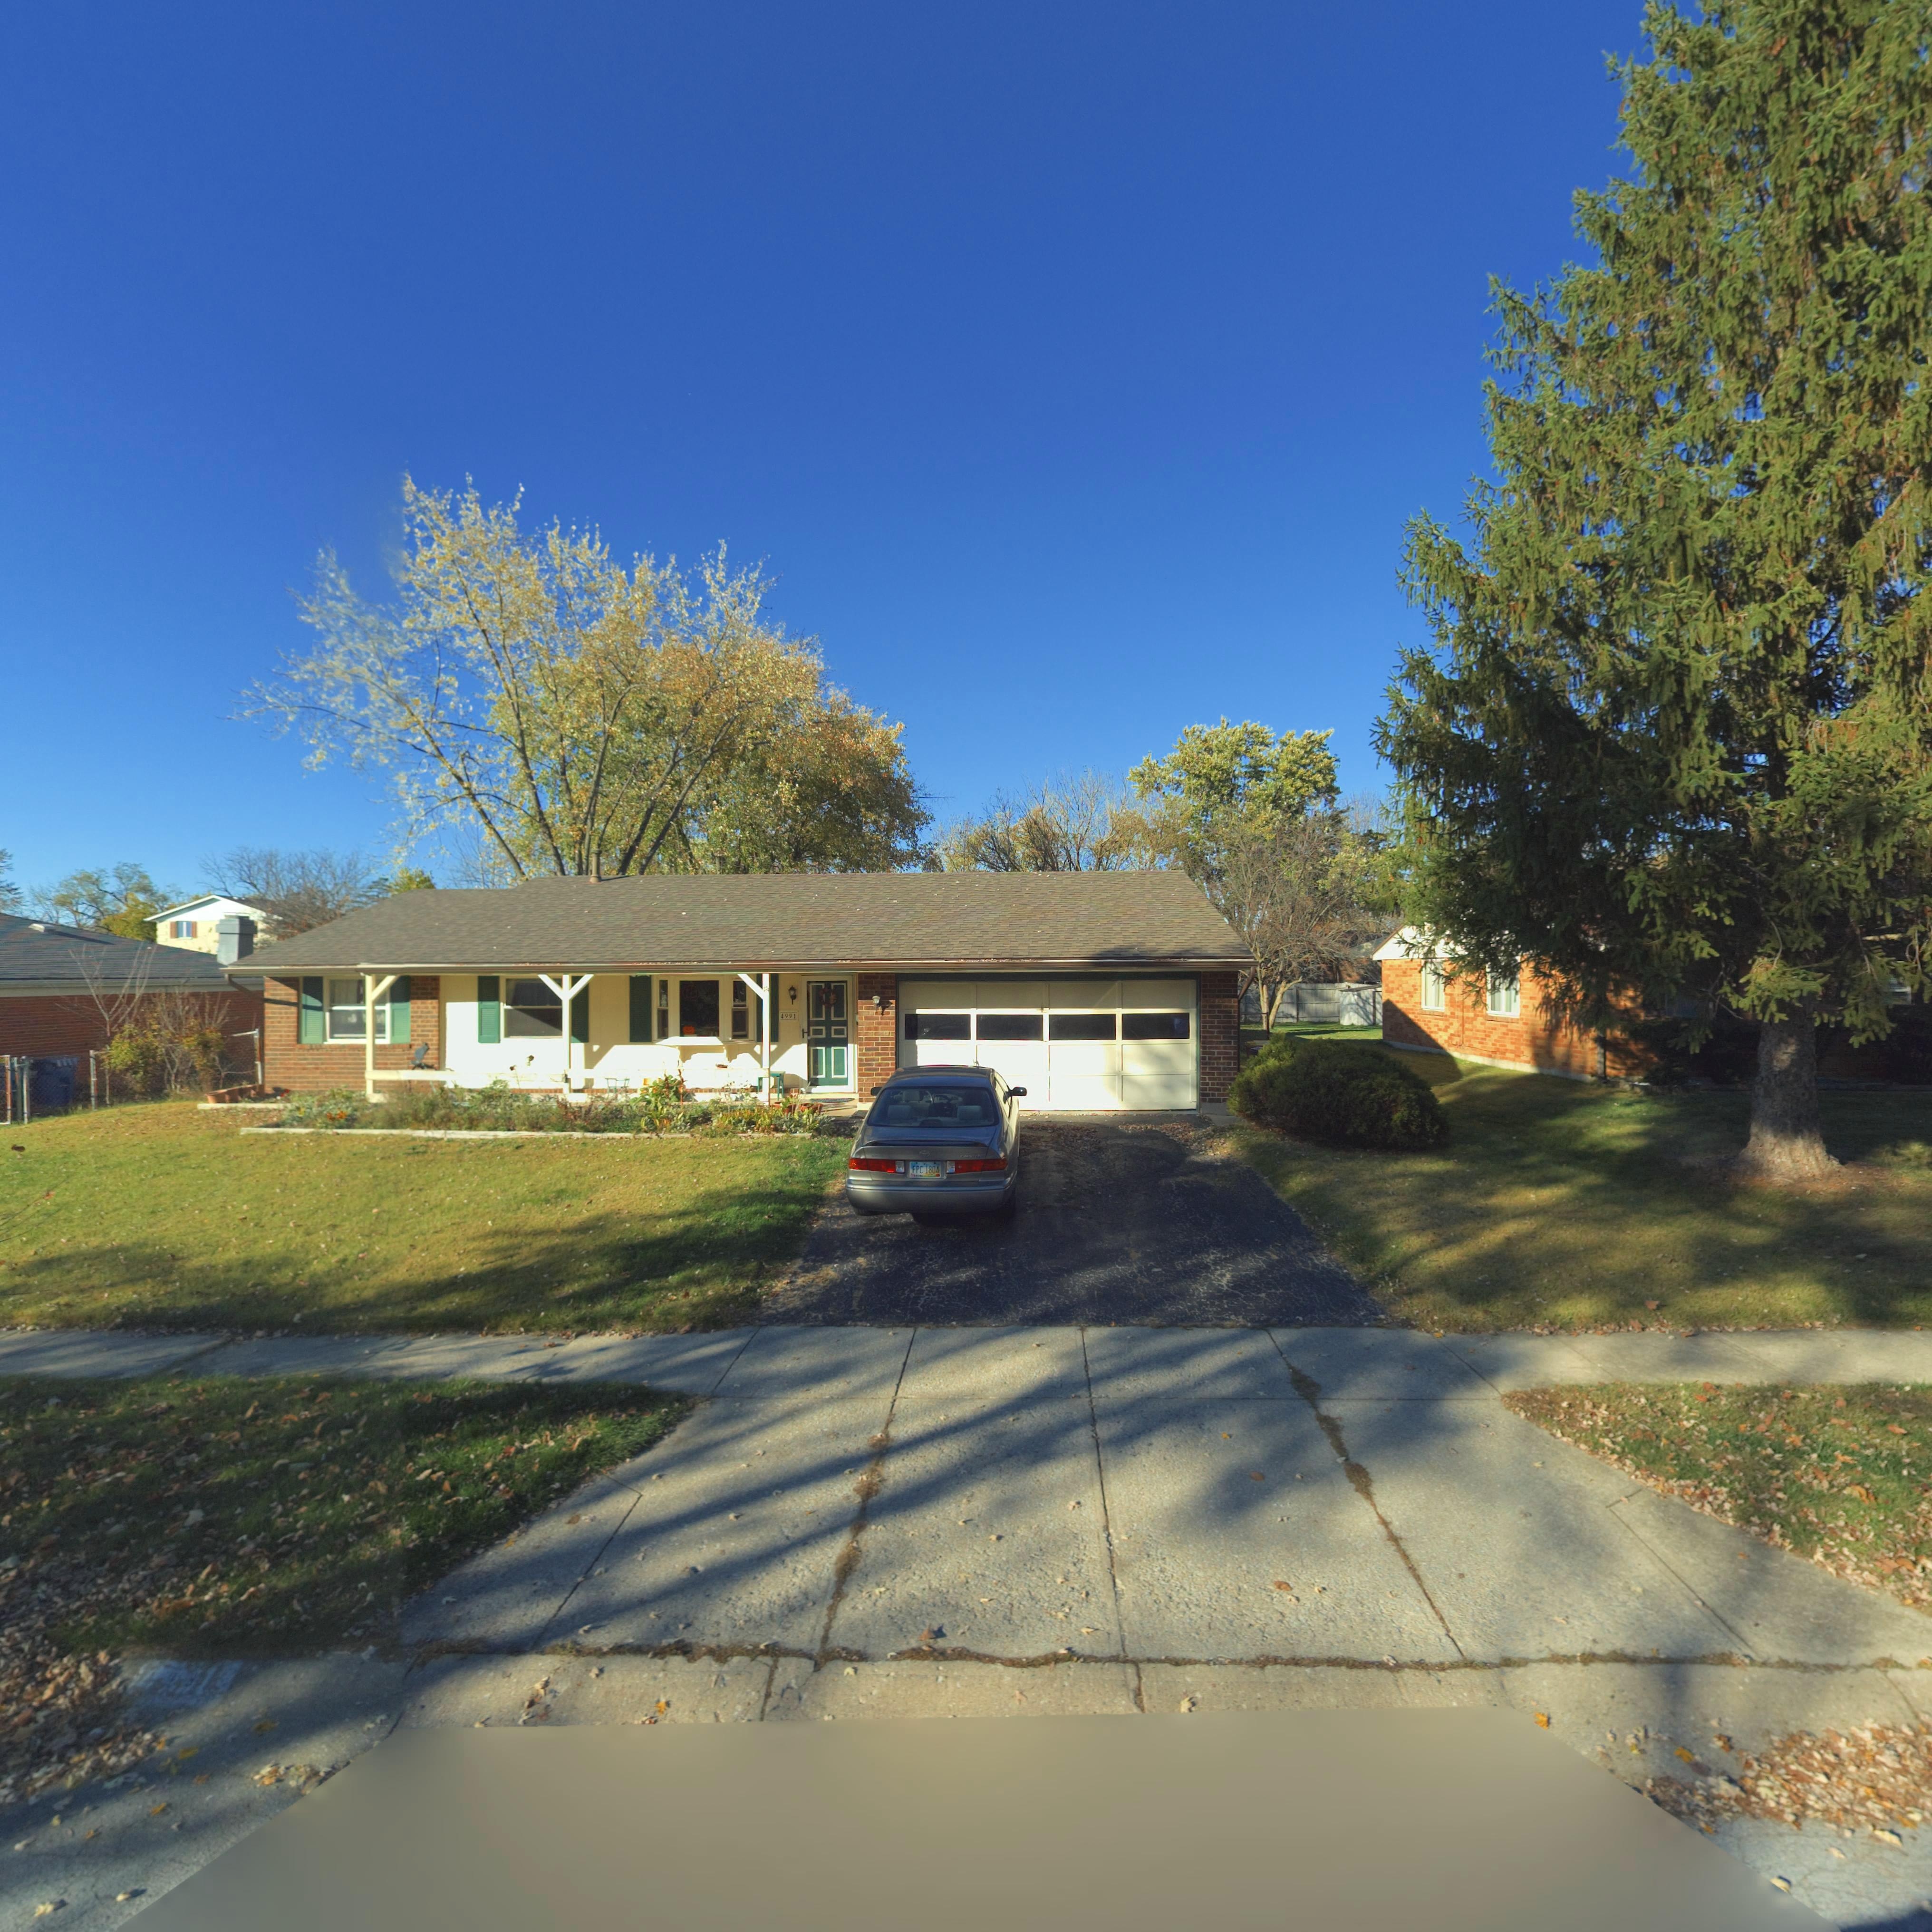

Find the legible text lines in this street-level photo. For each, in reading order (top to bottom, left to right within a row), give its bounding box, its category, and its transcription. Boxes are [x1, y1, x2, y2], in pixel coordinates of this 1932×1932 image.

[780, 1013, 796, 1019] StreetNumber: 4991
[131, 1662, 223, 1698] StreetNumber: 4**1